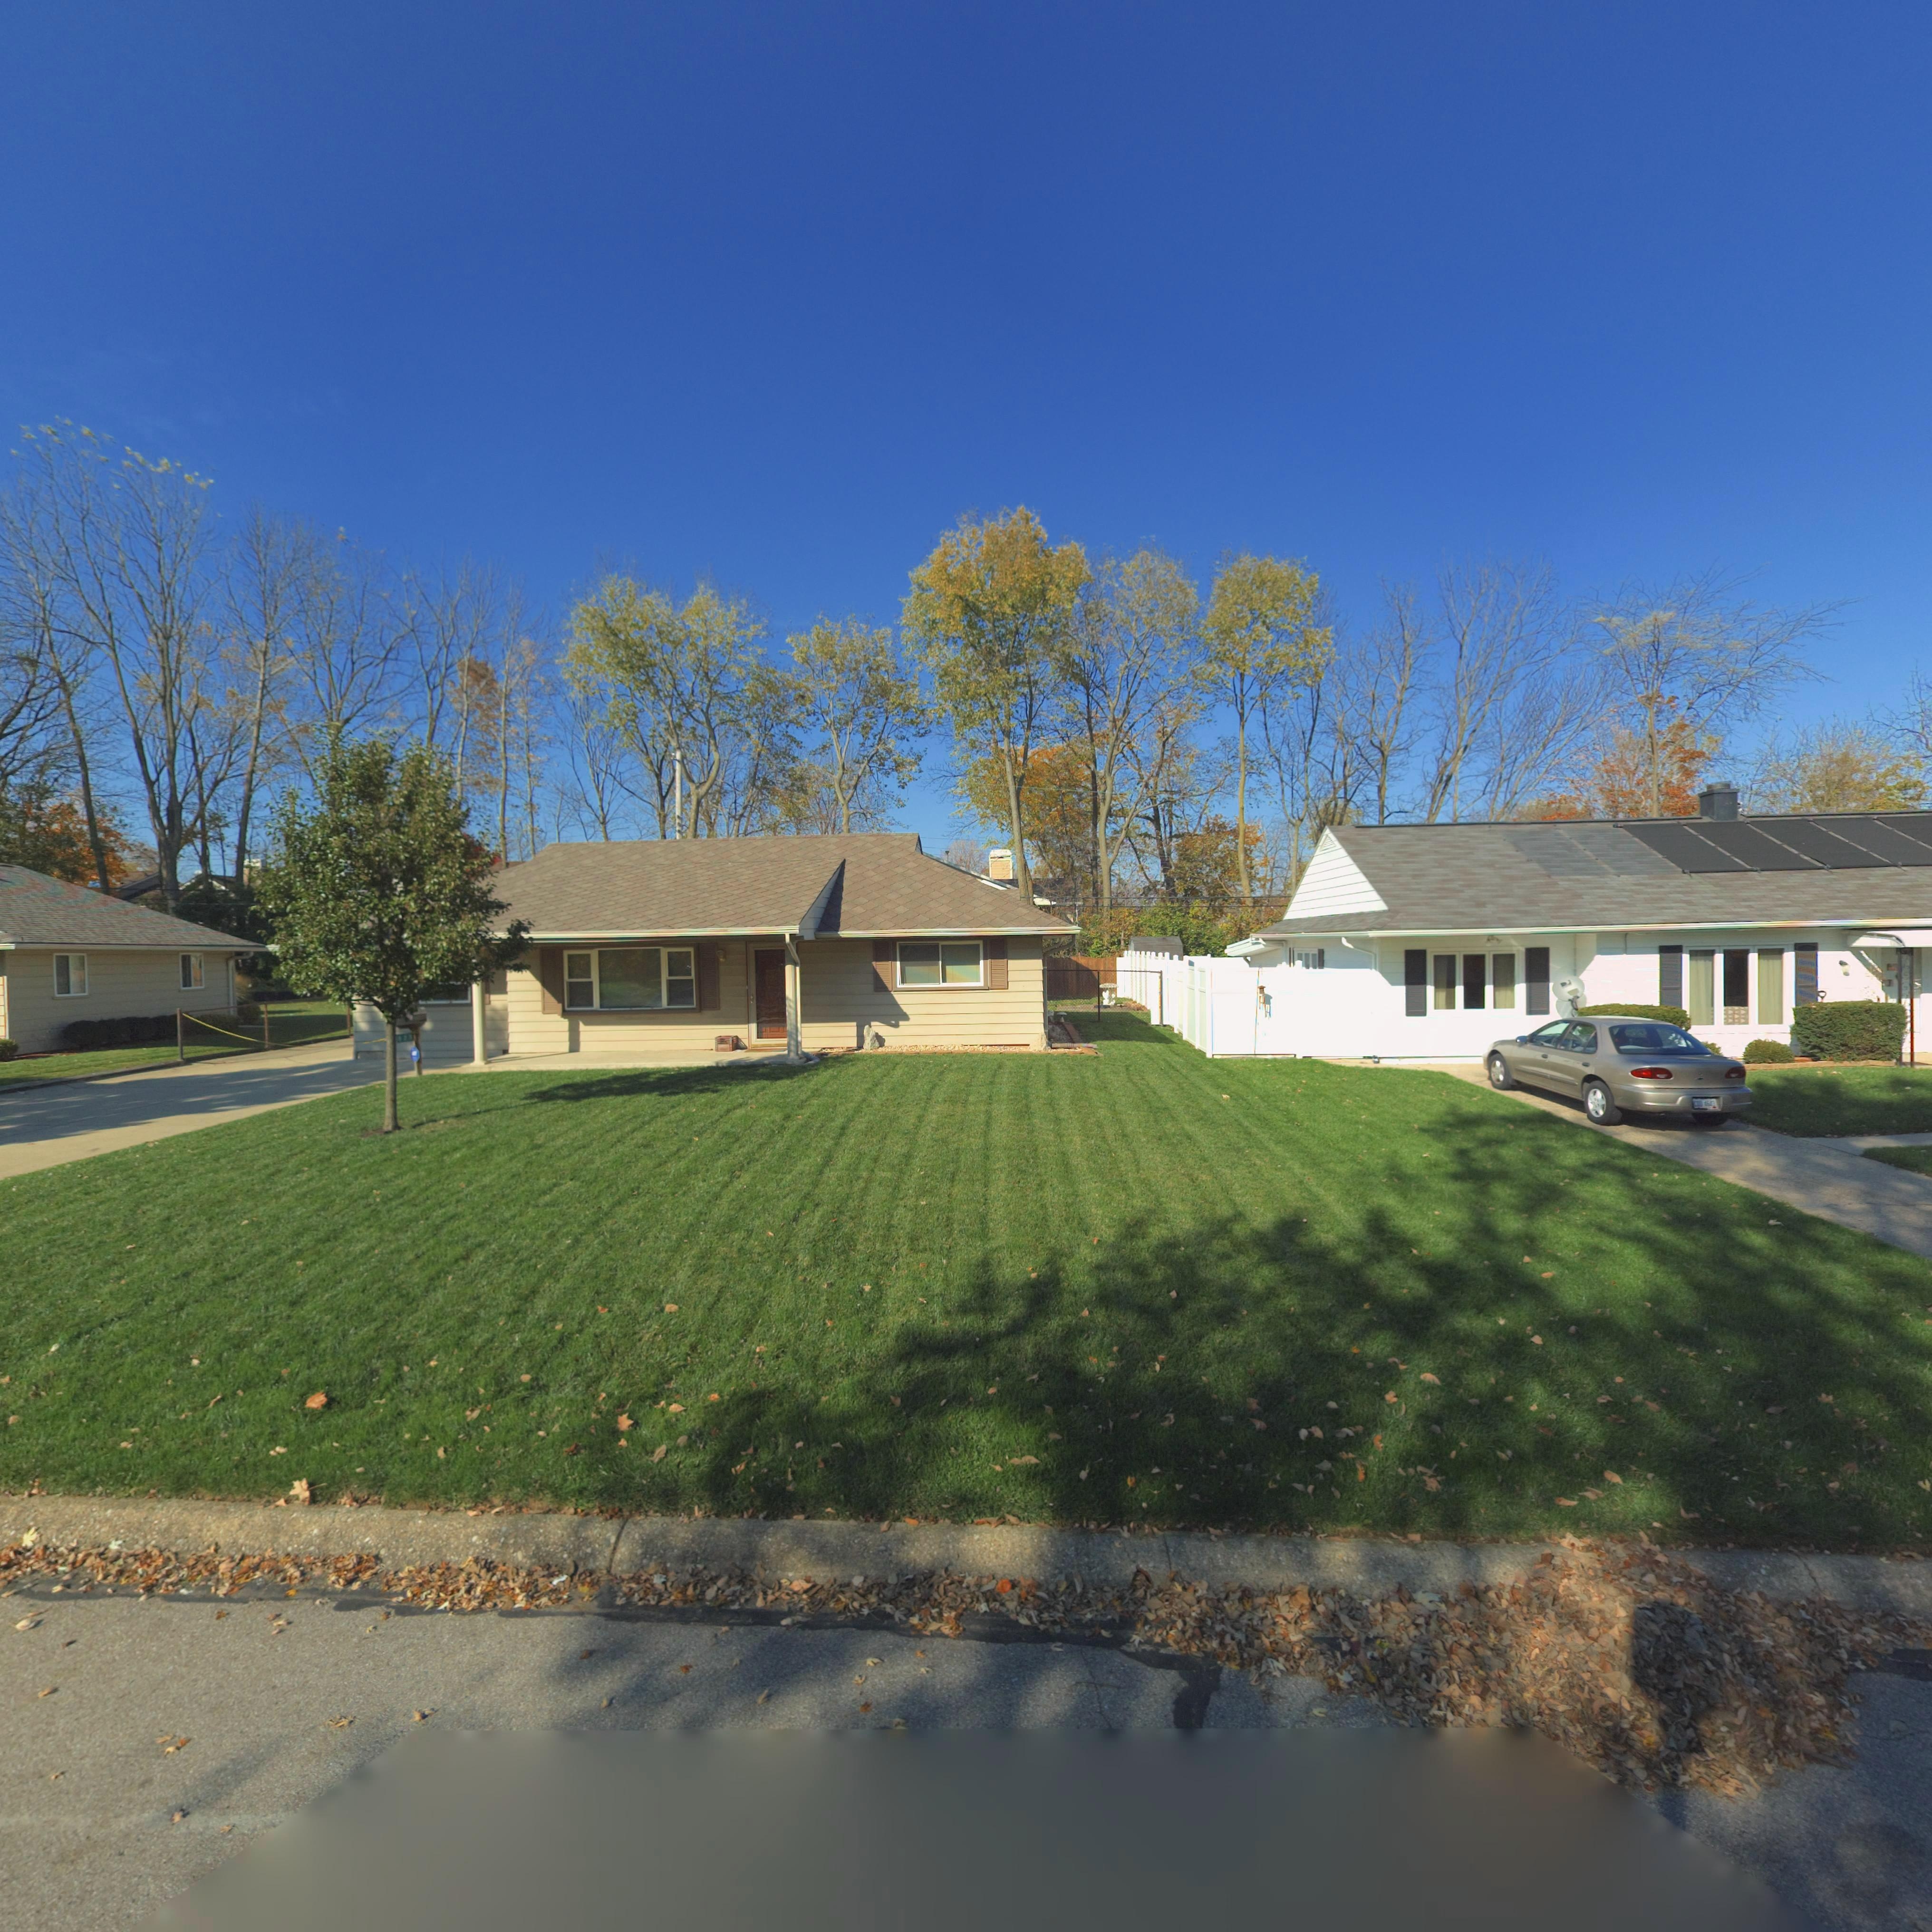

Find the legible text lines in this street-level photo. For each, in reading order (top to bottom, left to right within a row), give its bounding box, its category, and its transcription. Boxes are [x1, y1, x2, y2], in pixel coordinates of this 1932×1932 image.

[397, 1033, 413, 1043] StreetNumber: 825
[411, 1051, 417, 1056] None: ADT